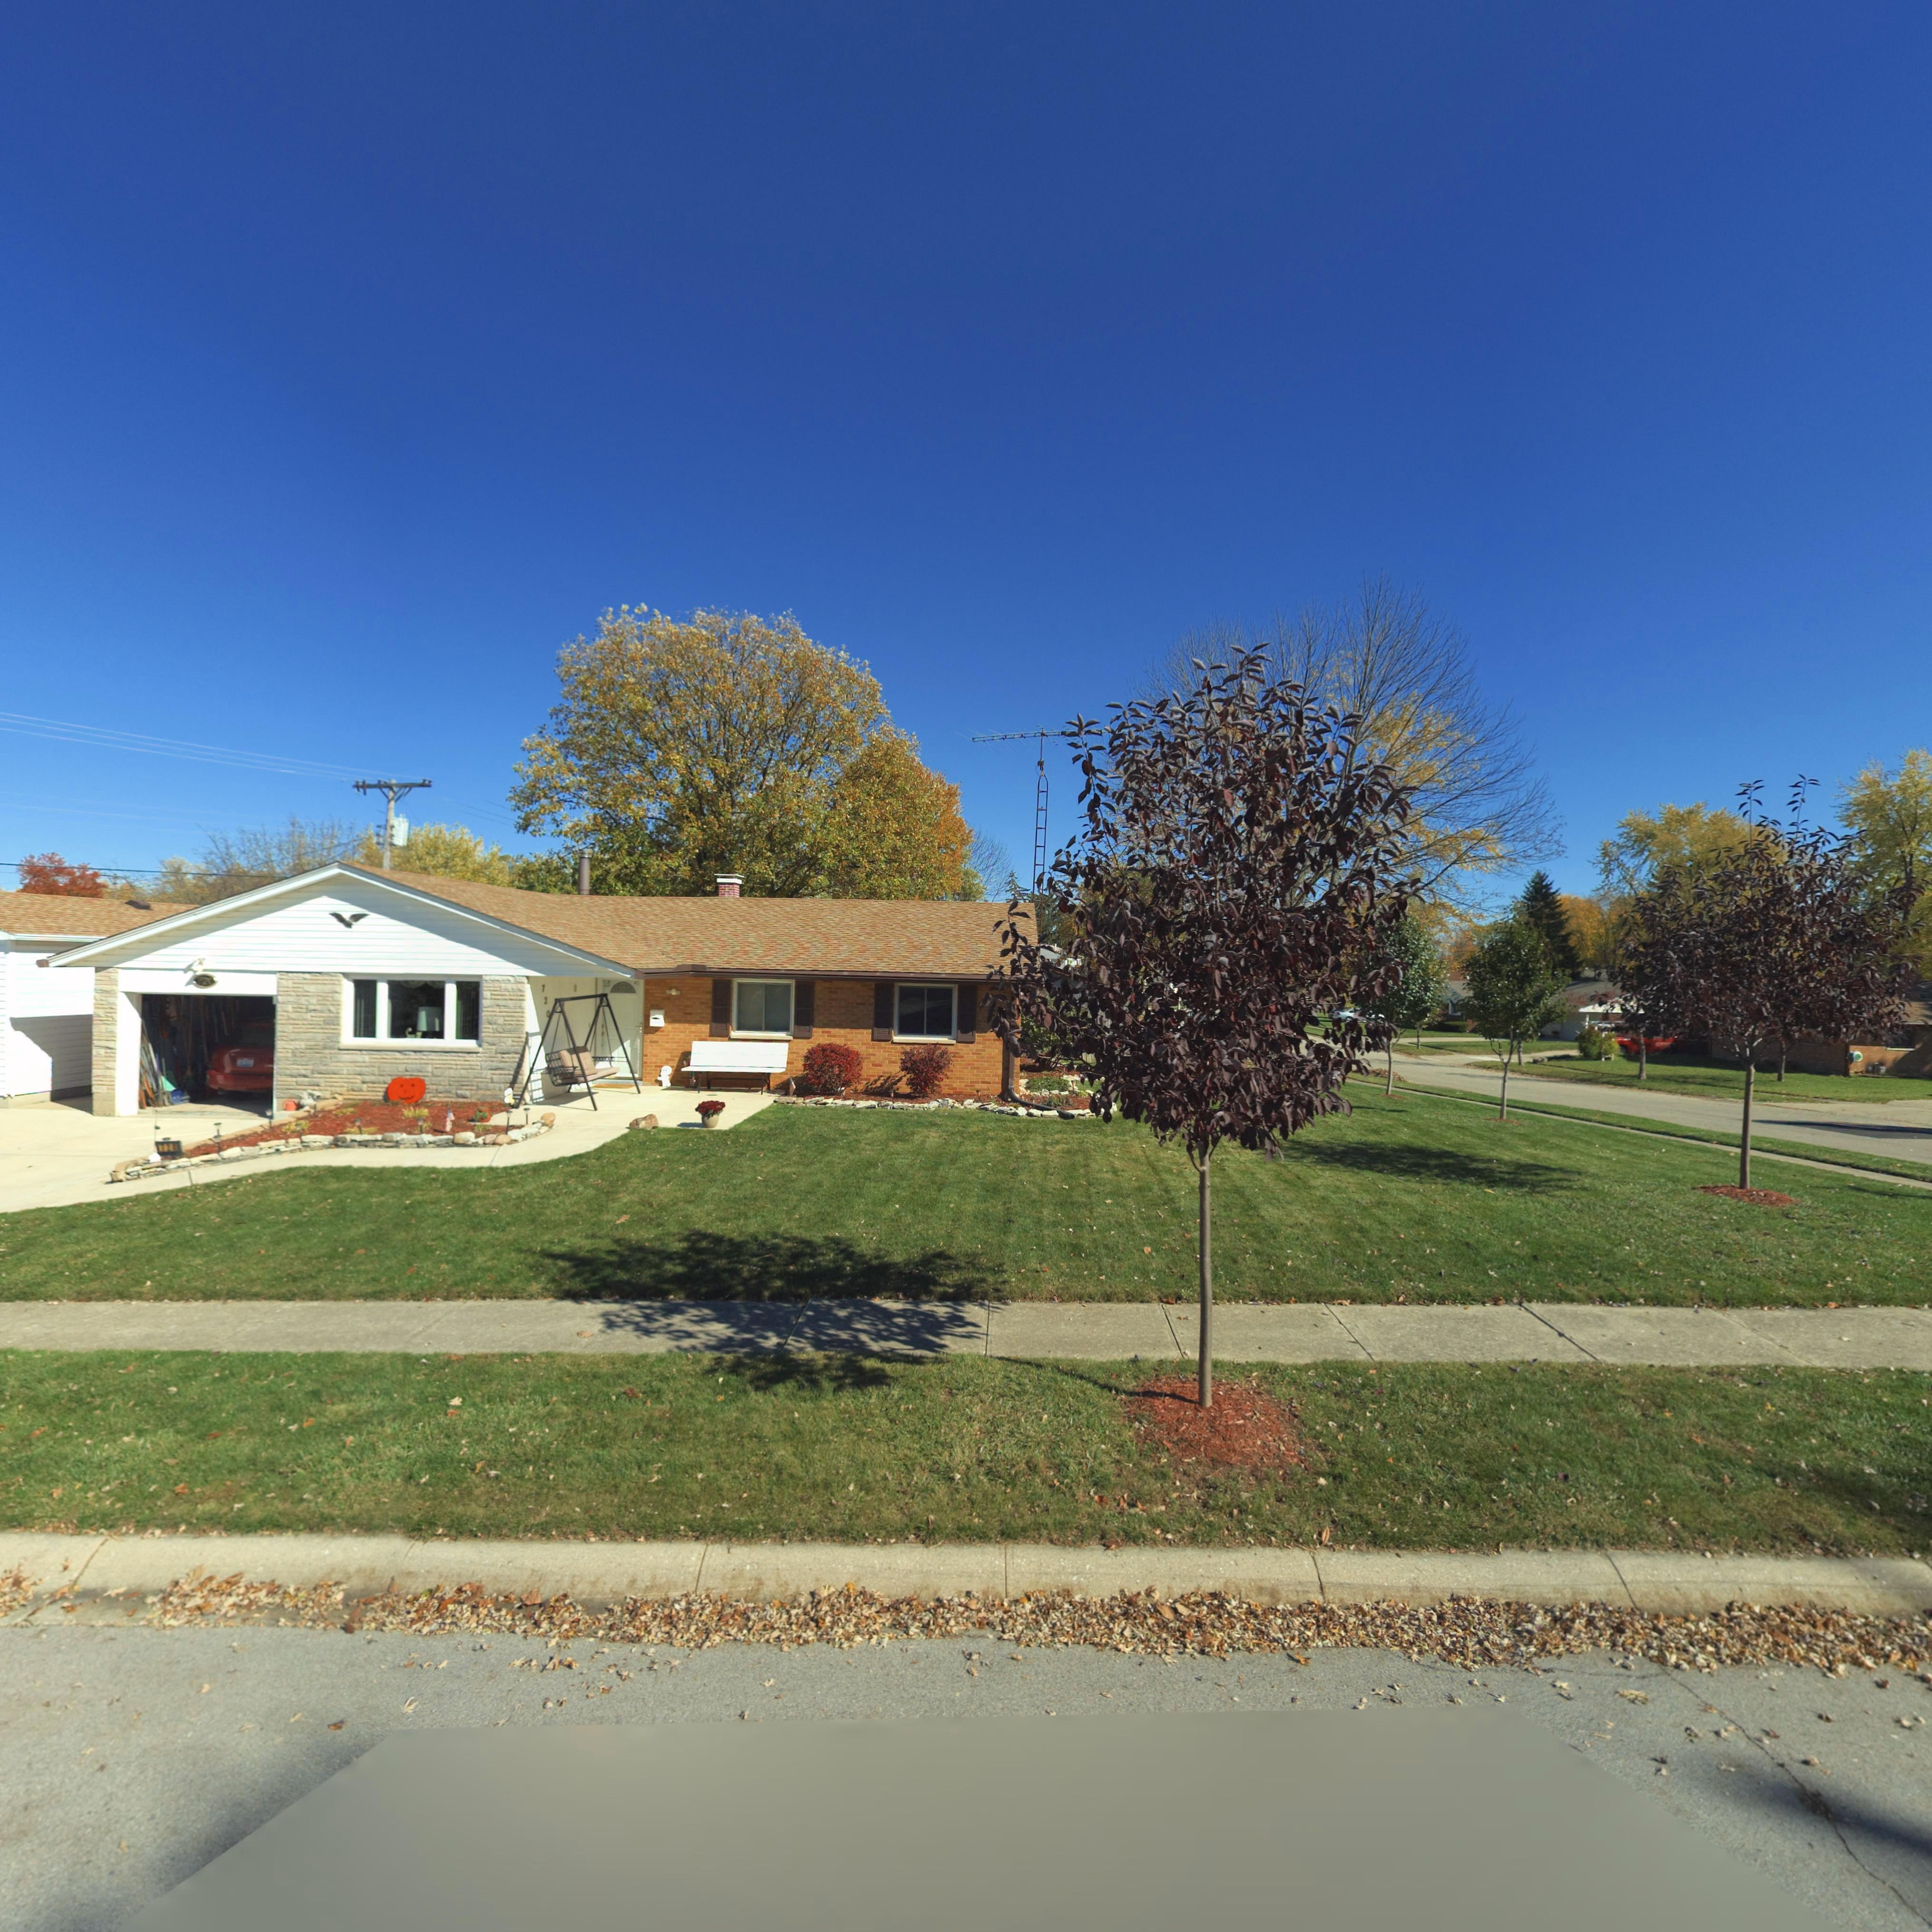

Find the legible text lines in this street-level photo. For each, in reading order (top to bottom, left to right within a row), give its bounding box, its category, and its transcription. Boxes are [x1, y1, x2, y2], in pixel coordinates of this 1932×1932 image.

[195, 976, 216, 985] StreetNumber: 720
[541, 984, 551, 1018] StreetNumber: 720